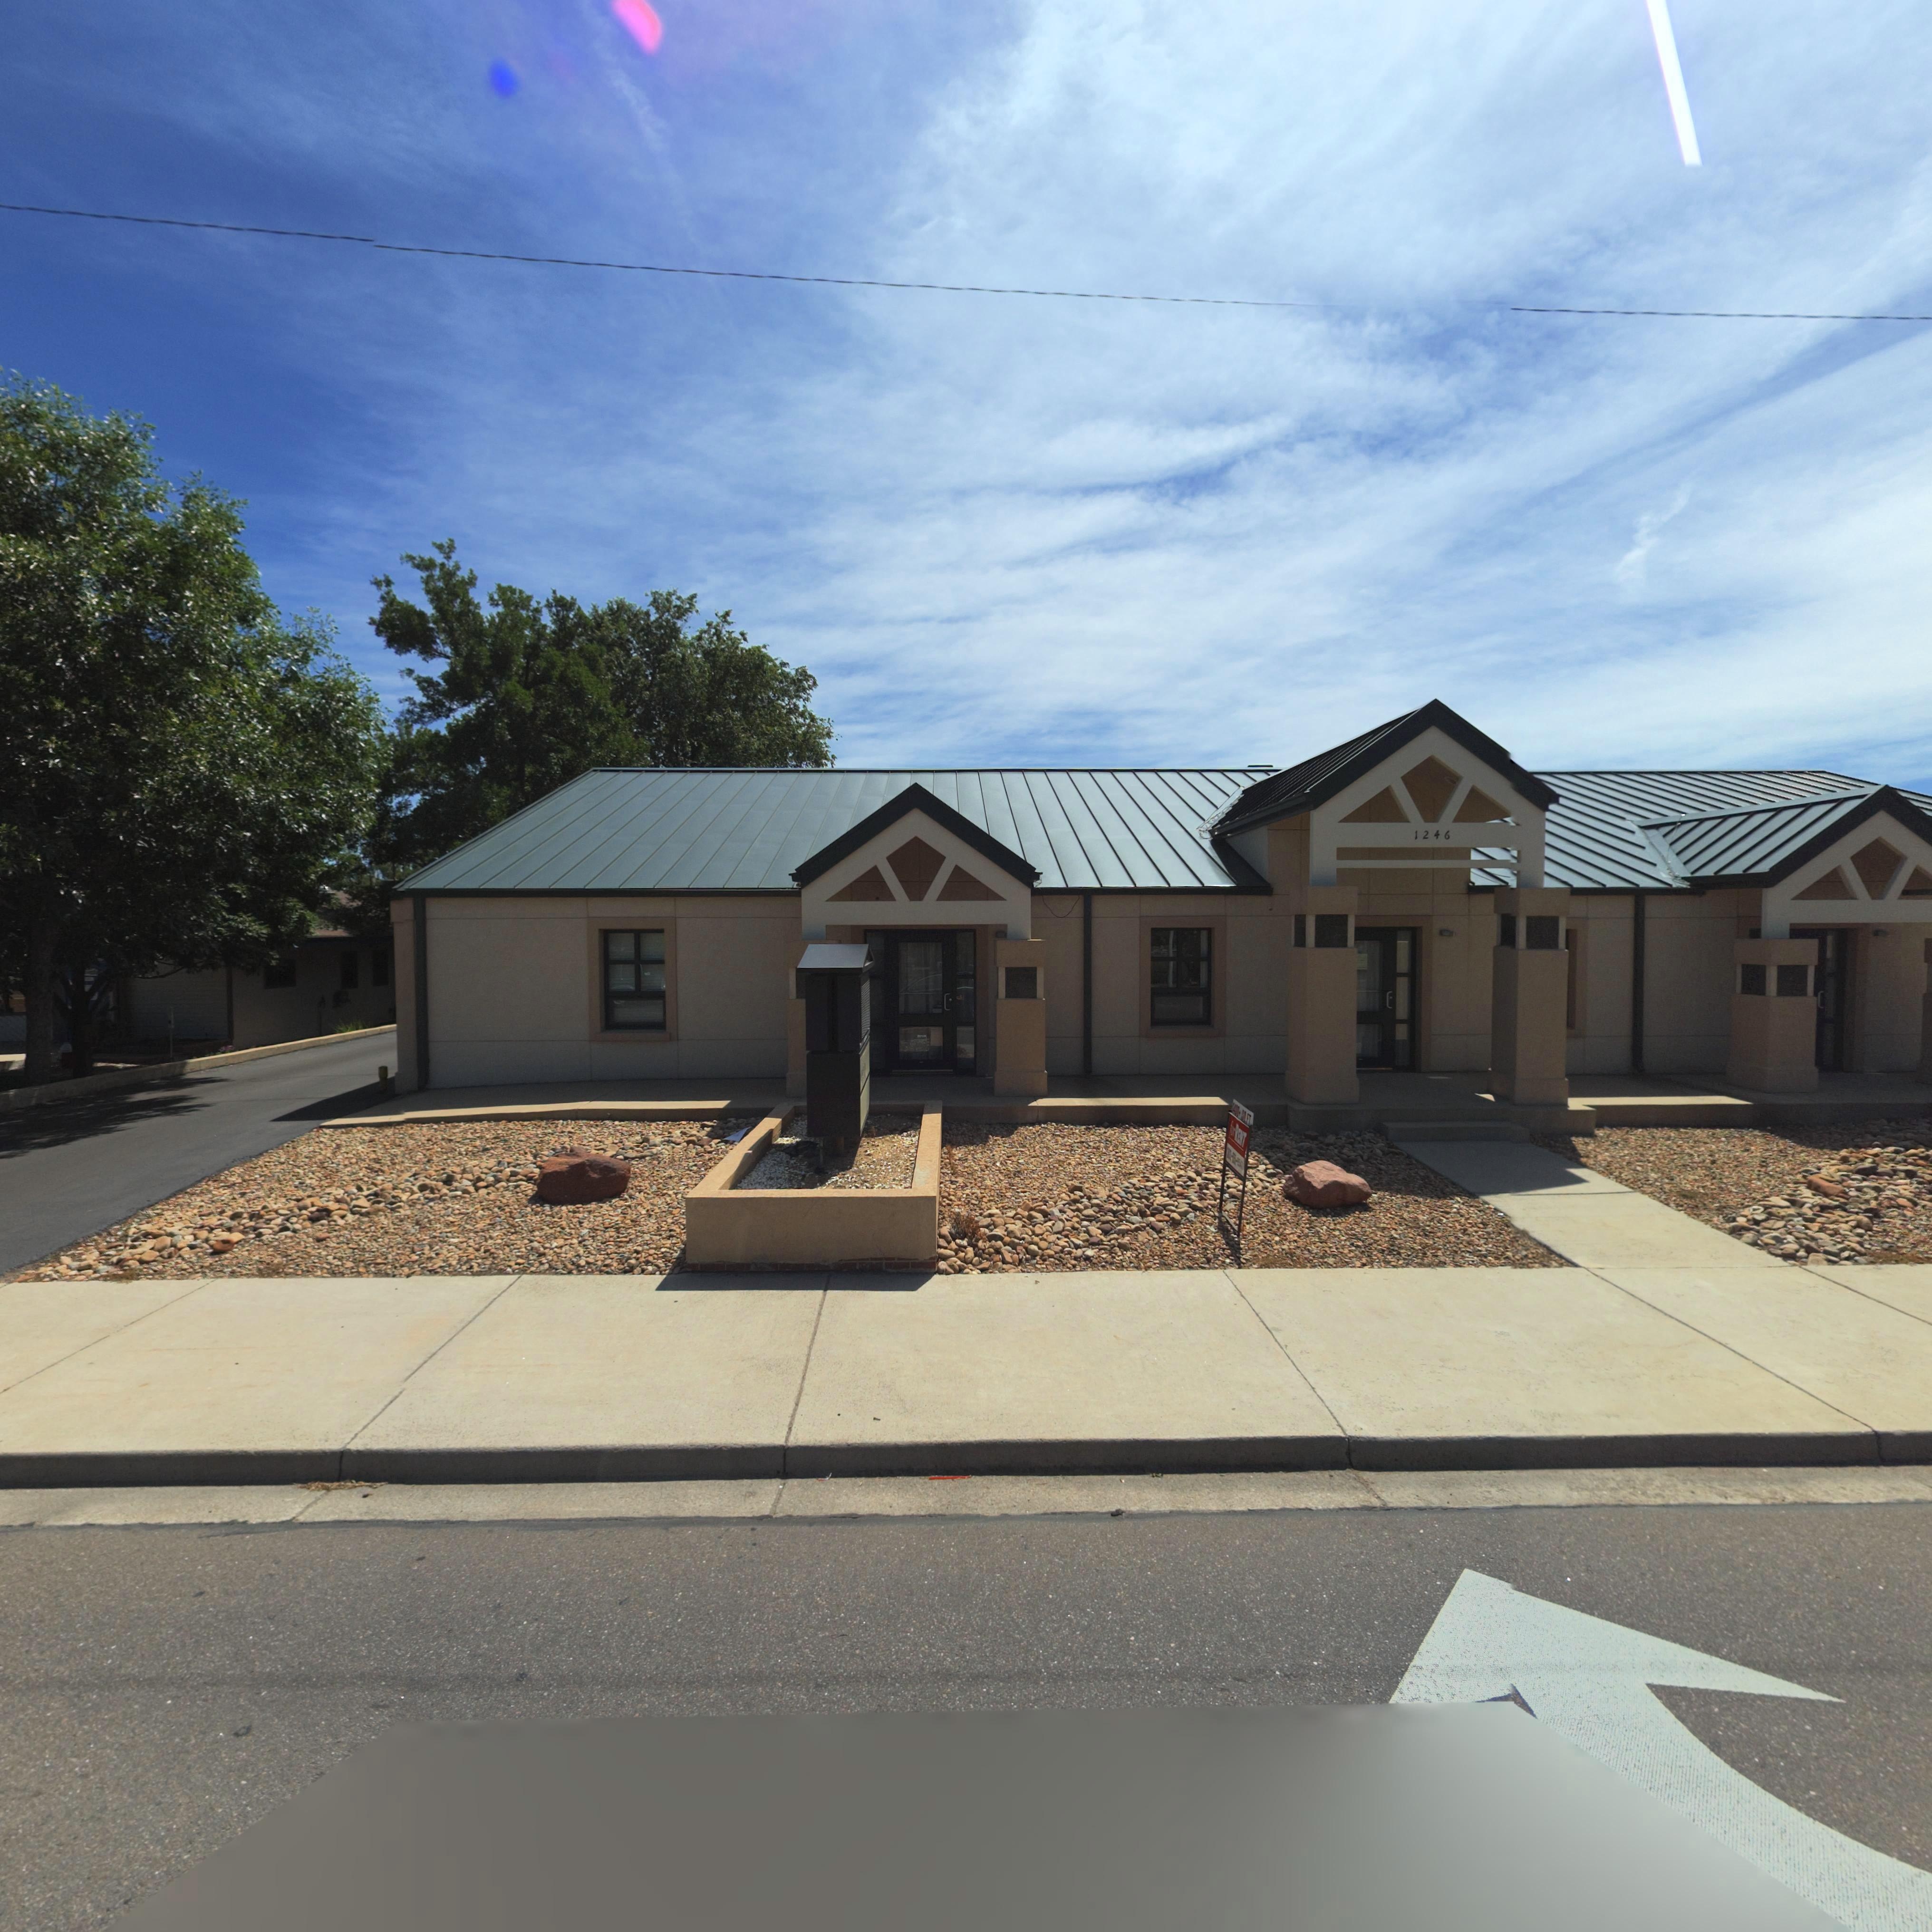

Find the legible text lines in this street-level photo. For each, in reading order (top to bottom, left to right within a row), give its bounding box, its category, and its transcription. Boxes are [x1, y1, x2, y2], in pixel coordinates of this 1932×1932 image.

[1414, 830, 1450, 840] StreetNumber: 1246